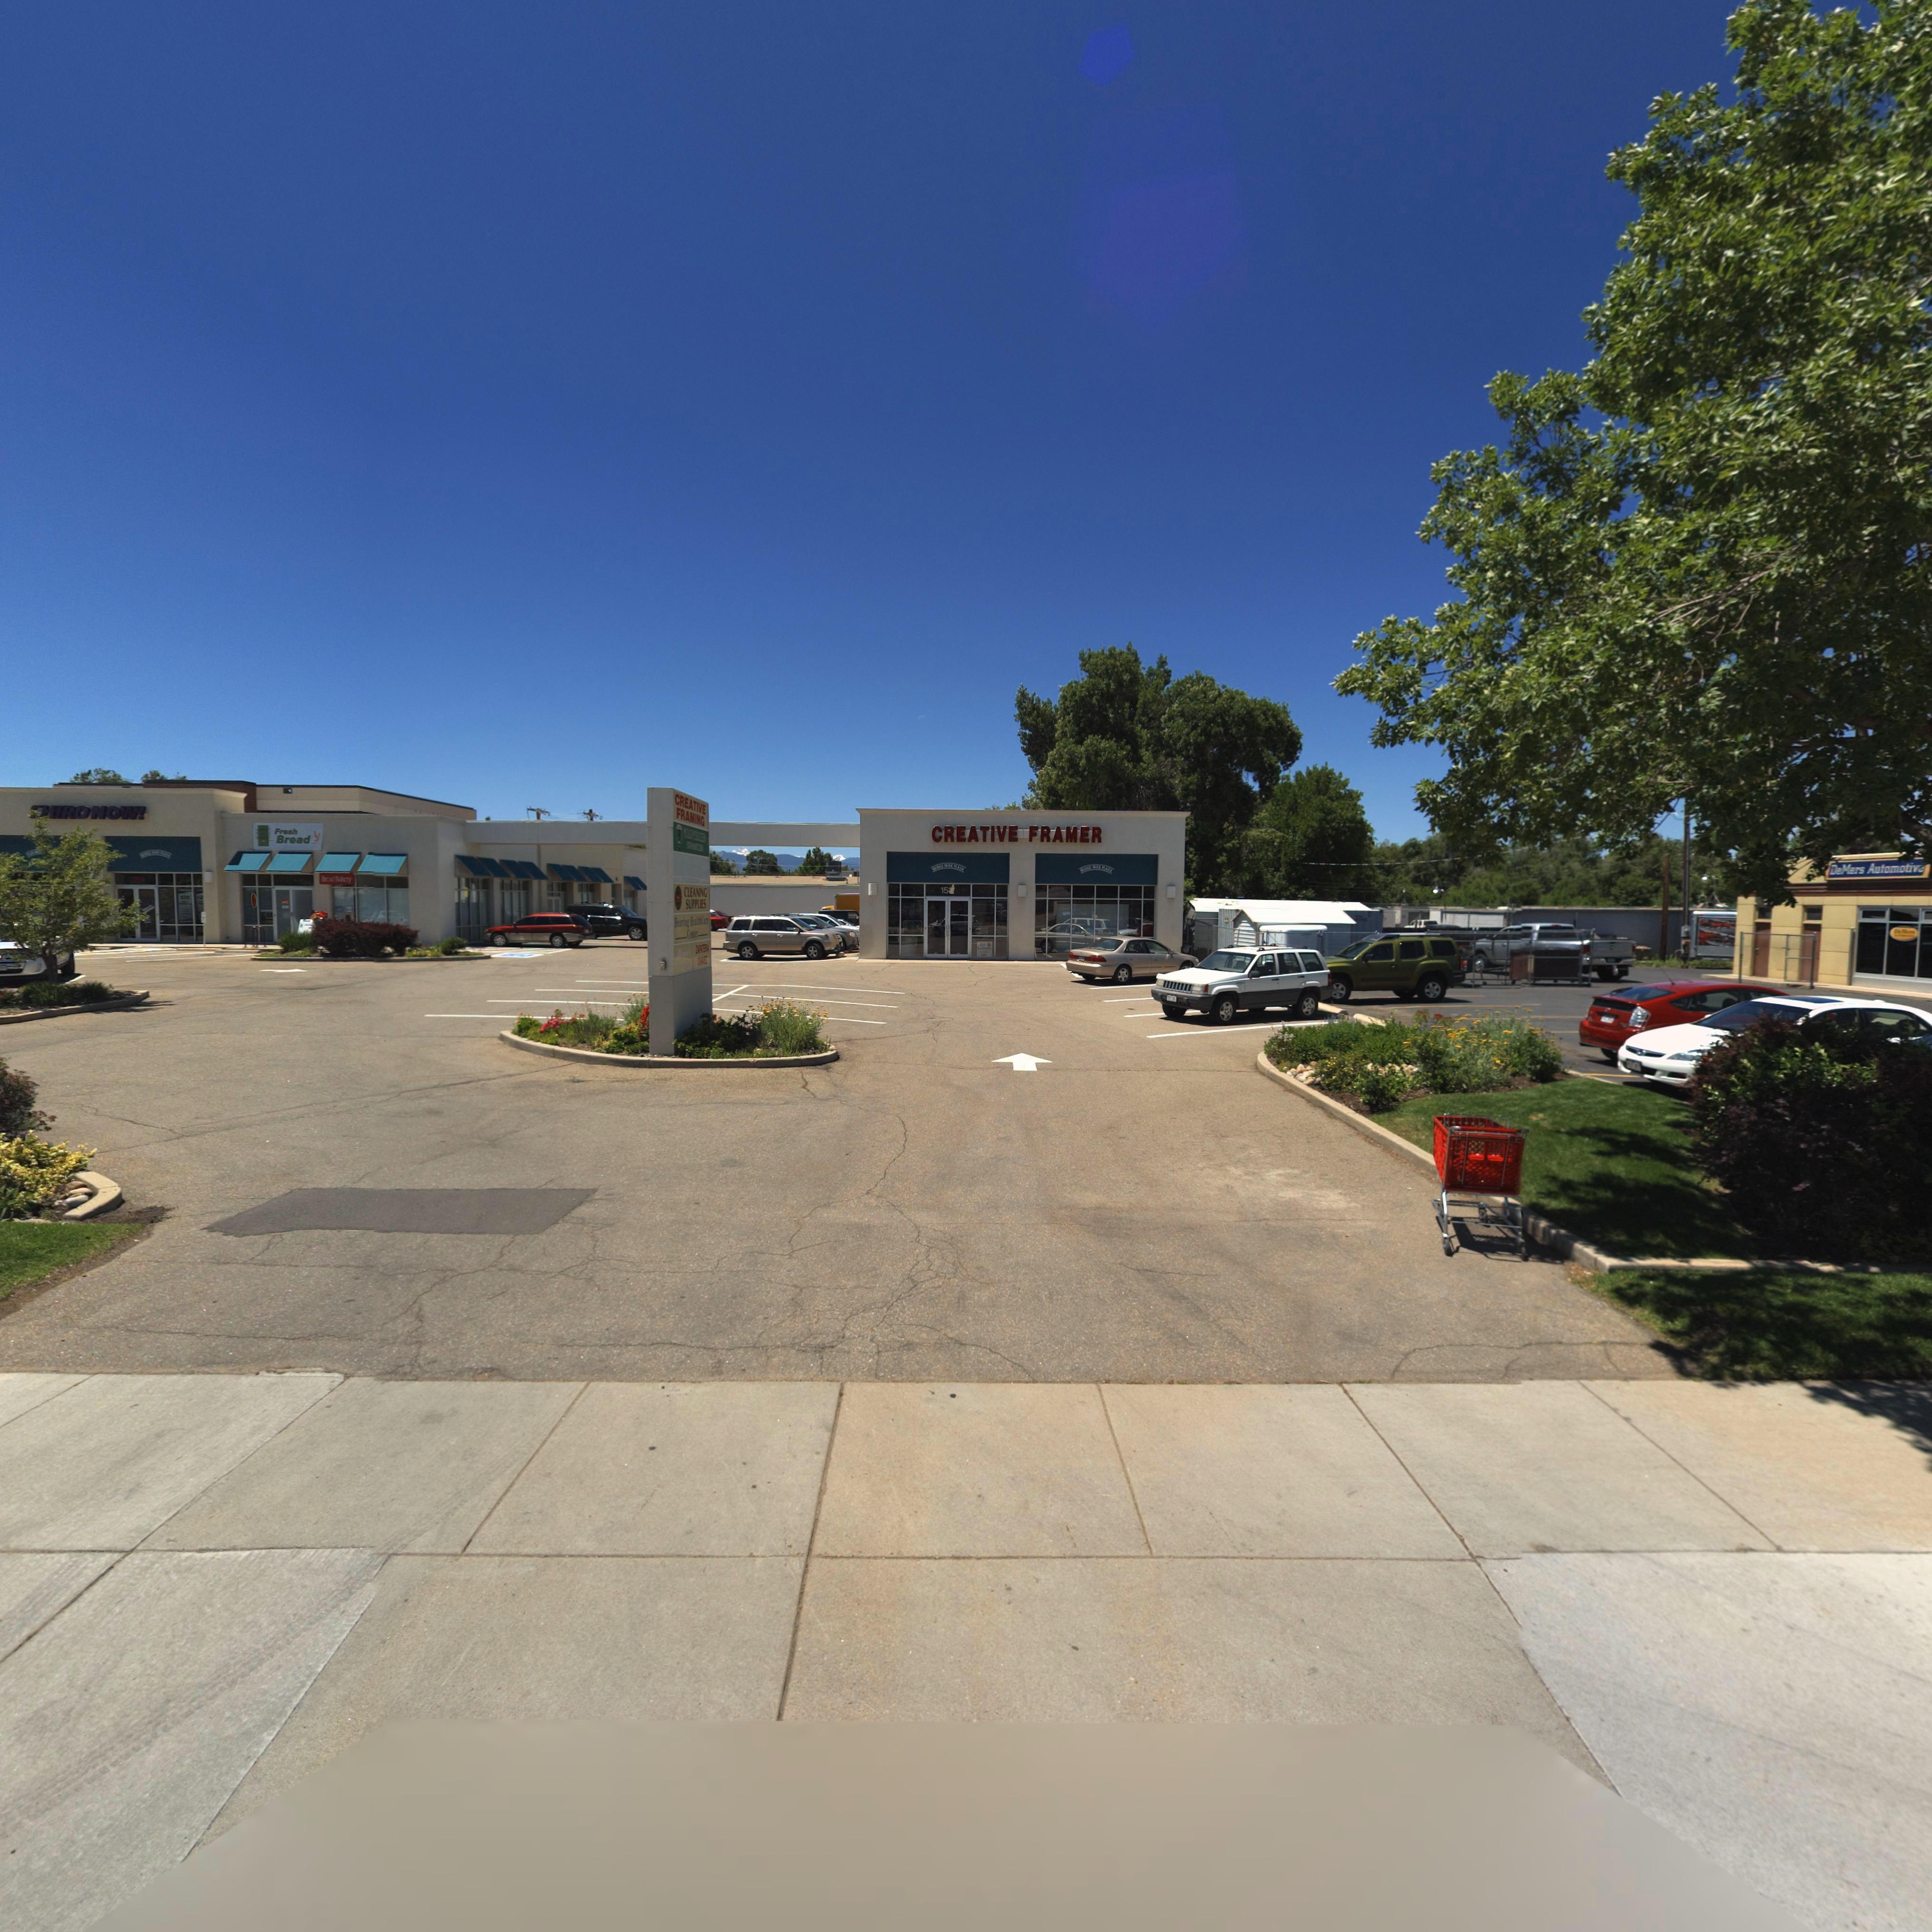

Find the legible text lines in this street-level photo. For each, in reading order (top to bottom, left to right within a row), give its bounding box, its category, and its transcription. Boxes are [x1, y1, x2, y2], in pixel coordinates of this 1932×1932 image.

[674, 793, 706, 816] BusinessName: CREATIVE
[28, 803, 147, 821] BusinessName: *HIRO NOW*
[676, 807, 705, 827] BusinessName: FRAMING
[683, 827, 705, 842] BusinessName: ***** SOCCER
[932, 826, 1101, 842] BusinessName: CREATIVE FRAMER
[1829, 861, 1926, 876] BusinessName: DeMers Automotive
[940, 887, 955, 893] StreetNumber: 15**
[674, 914, 708, 928] BusinessName: Hearing HealthCare
[686, 929, 698, 939] BusinessName: Center
[1893, 927, 1915, 934] BusinessName: DeMers
[695, 943, 711, 955] BusinessName: ZAPA****
[696, 955, 708, 966] BusinessName: C*****